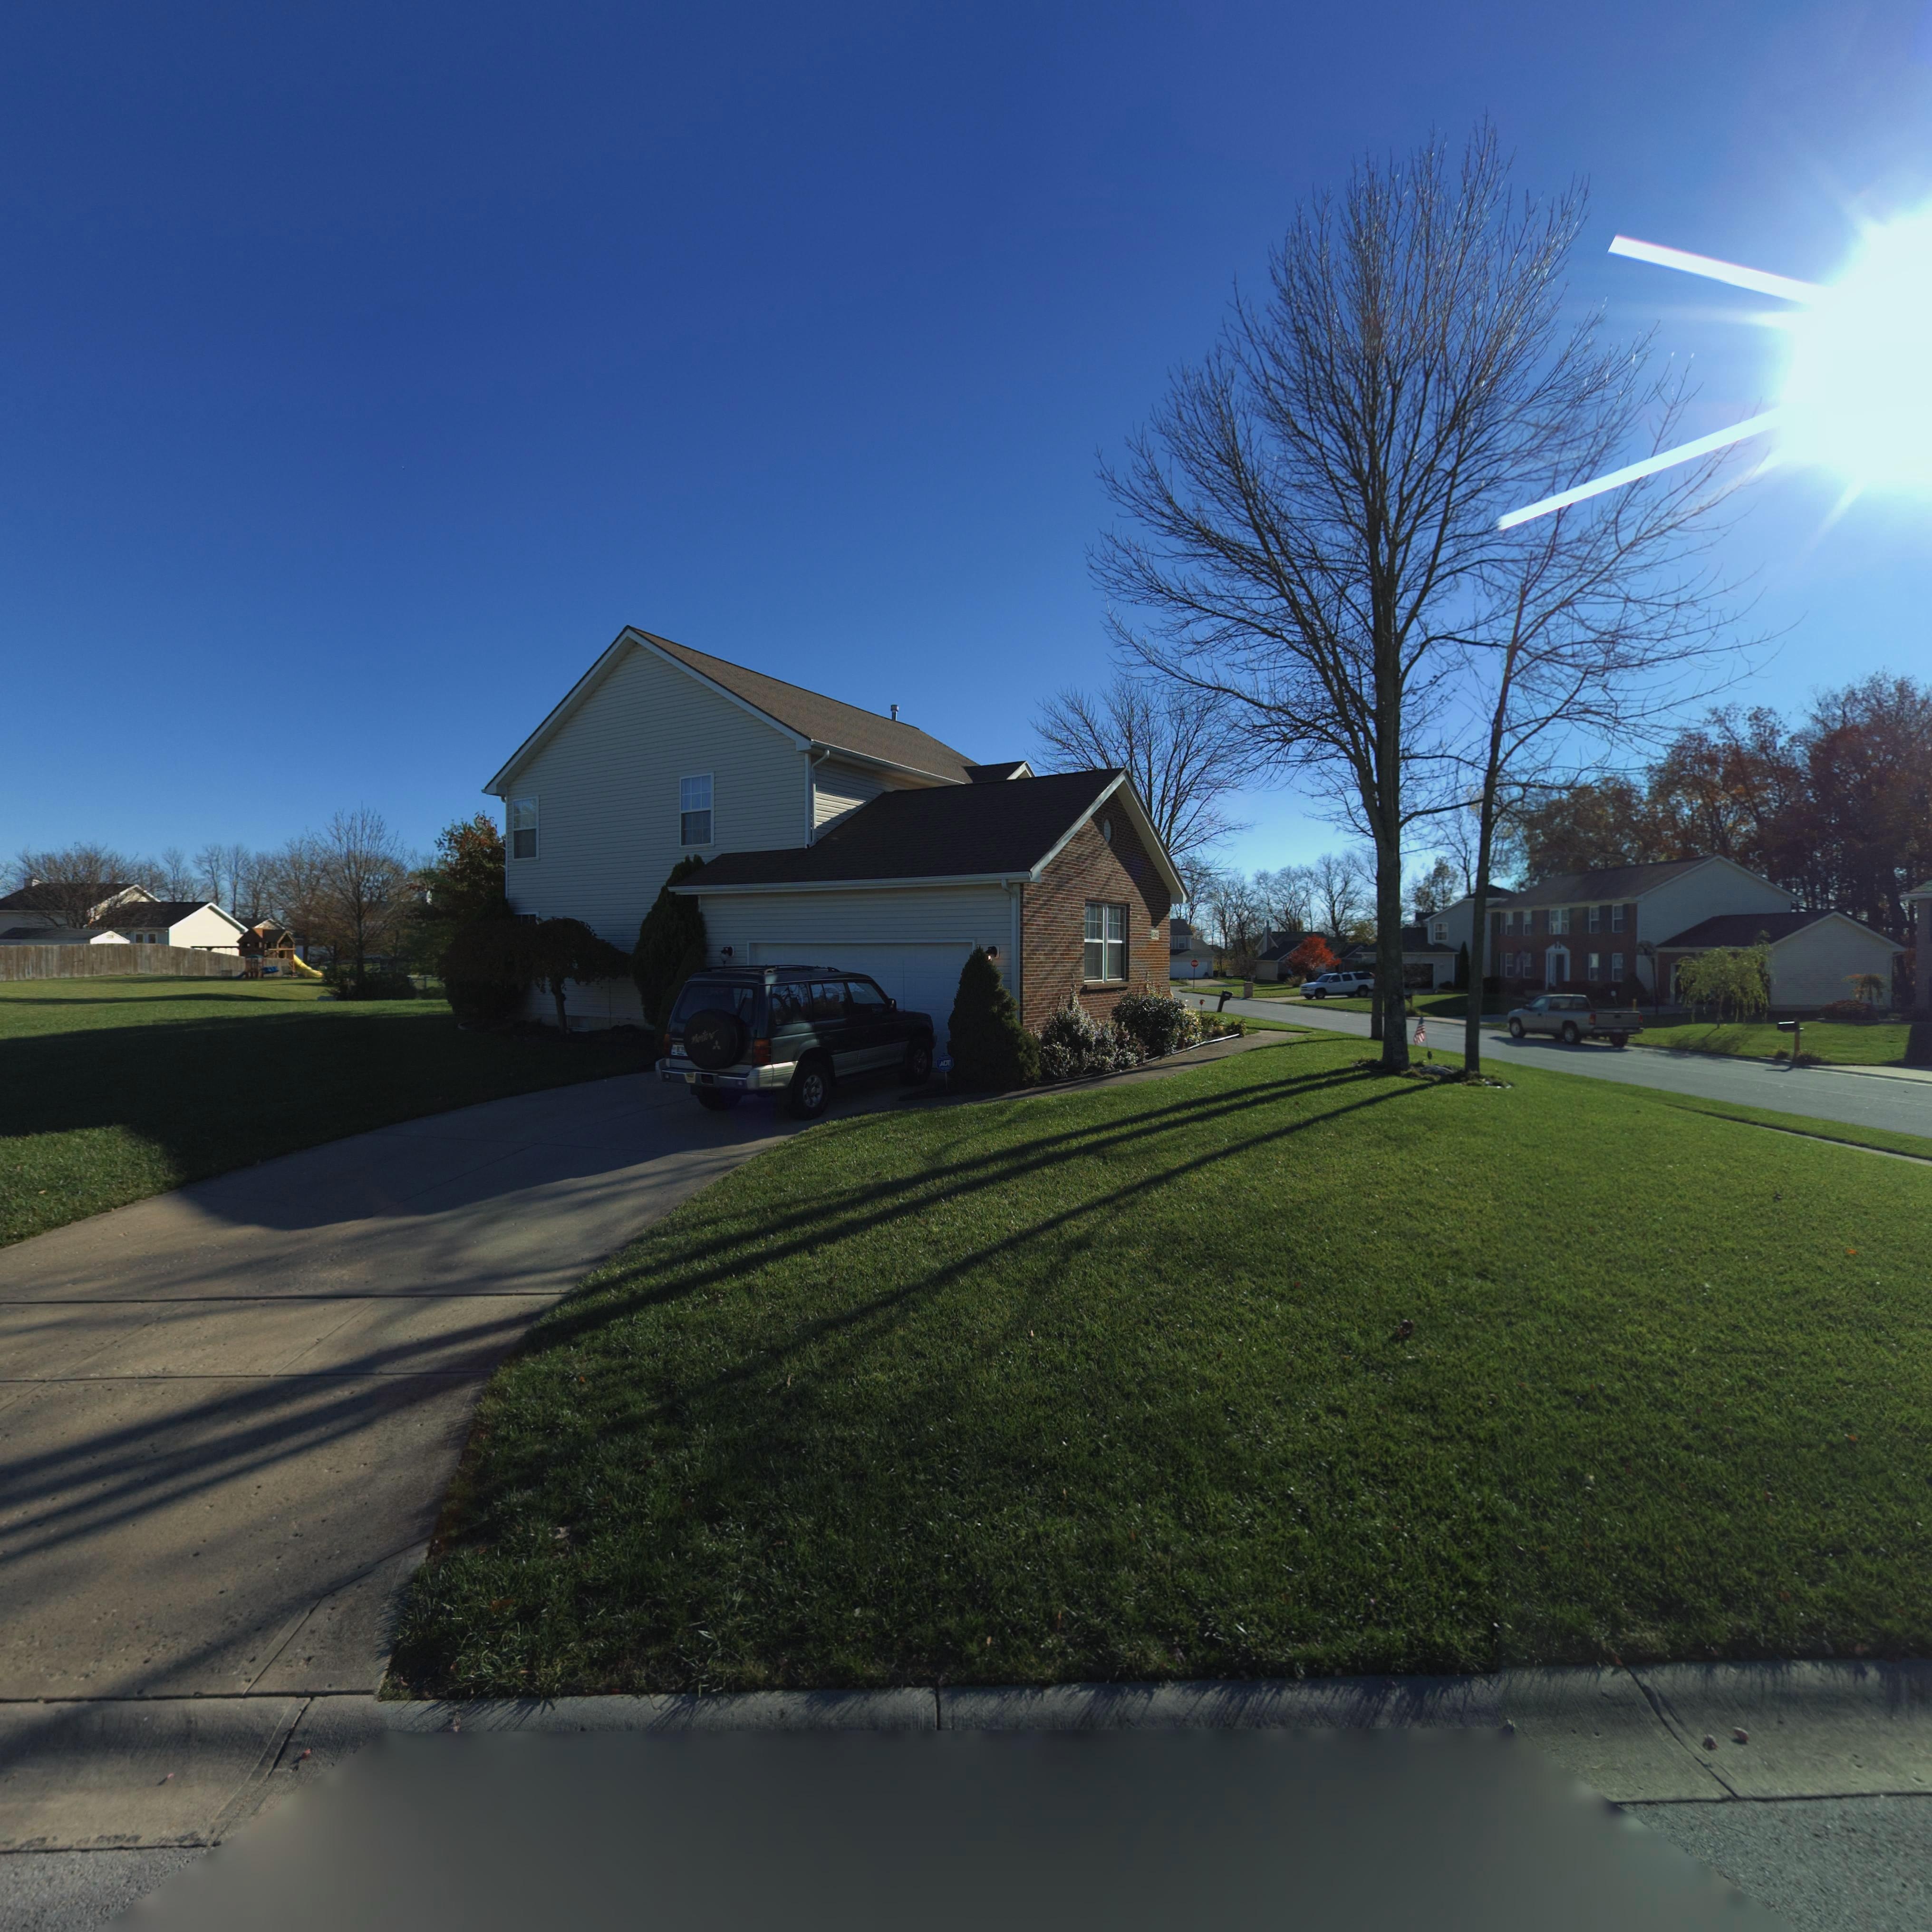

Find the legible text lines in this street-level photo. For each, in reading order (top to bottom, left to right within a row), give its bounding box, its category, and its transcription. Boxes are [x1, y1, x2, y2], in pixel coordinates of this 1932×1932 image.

[1151, 931, 1159, 938] StreetNumber: 6342